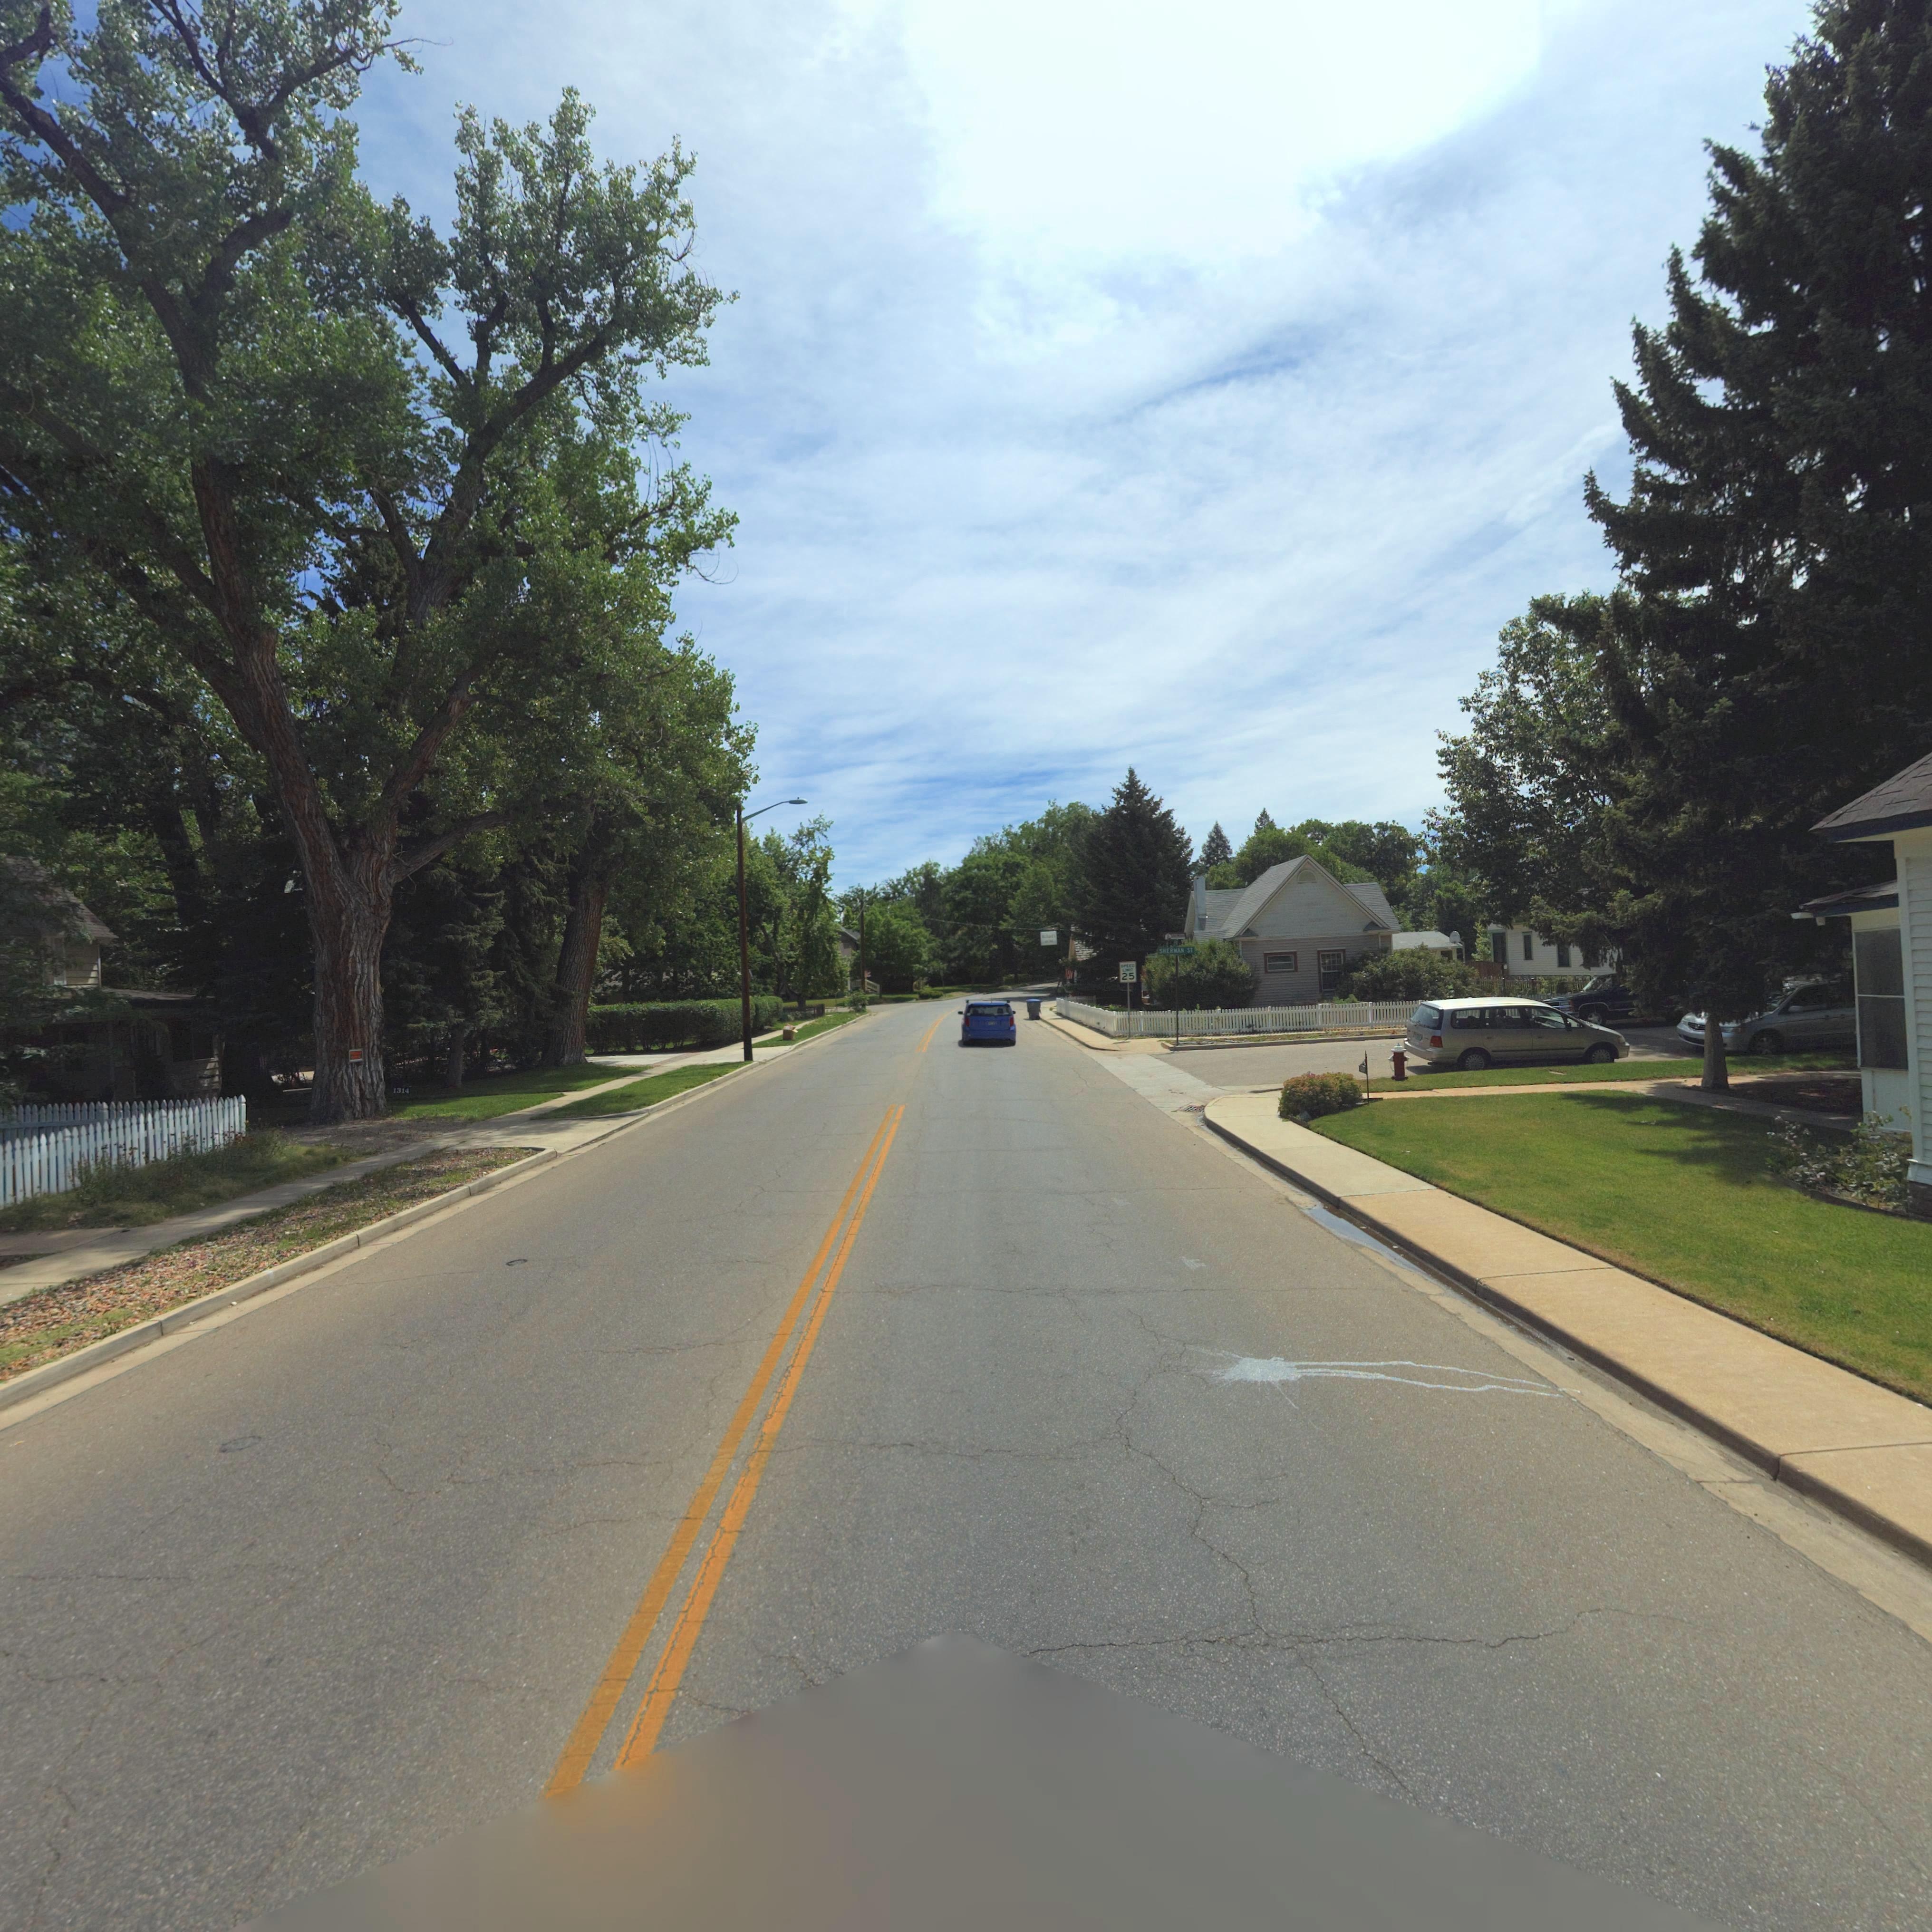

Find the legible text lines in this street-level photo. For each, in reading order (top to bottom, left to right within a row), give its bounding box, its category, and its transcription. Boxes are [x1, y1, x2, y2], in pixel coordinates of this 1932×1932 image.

[1159, 947, 1192, 954] StreetName: SHERMAN ST
[393, 1088, 409, 1093] StreetNumber: 1314